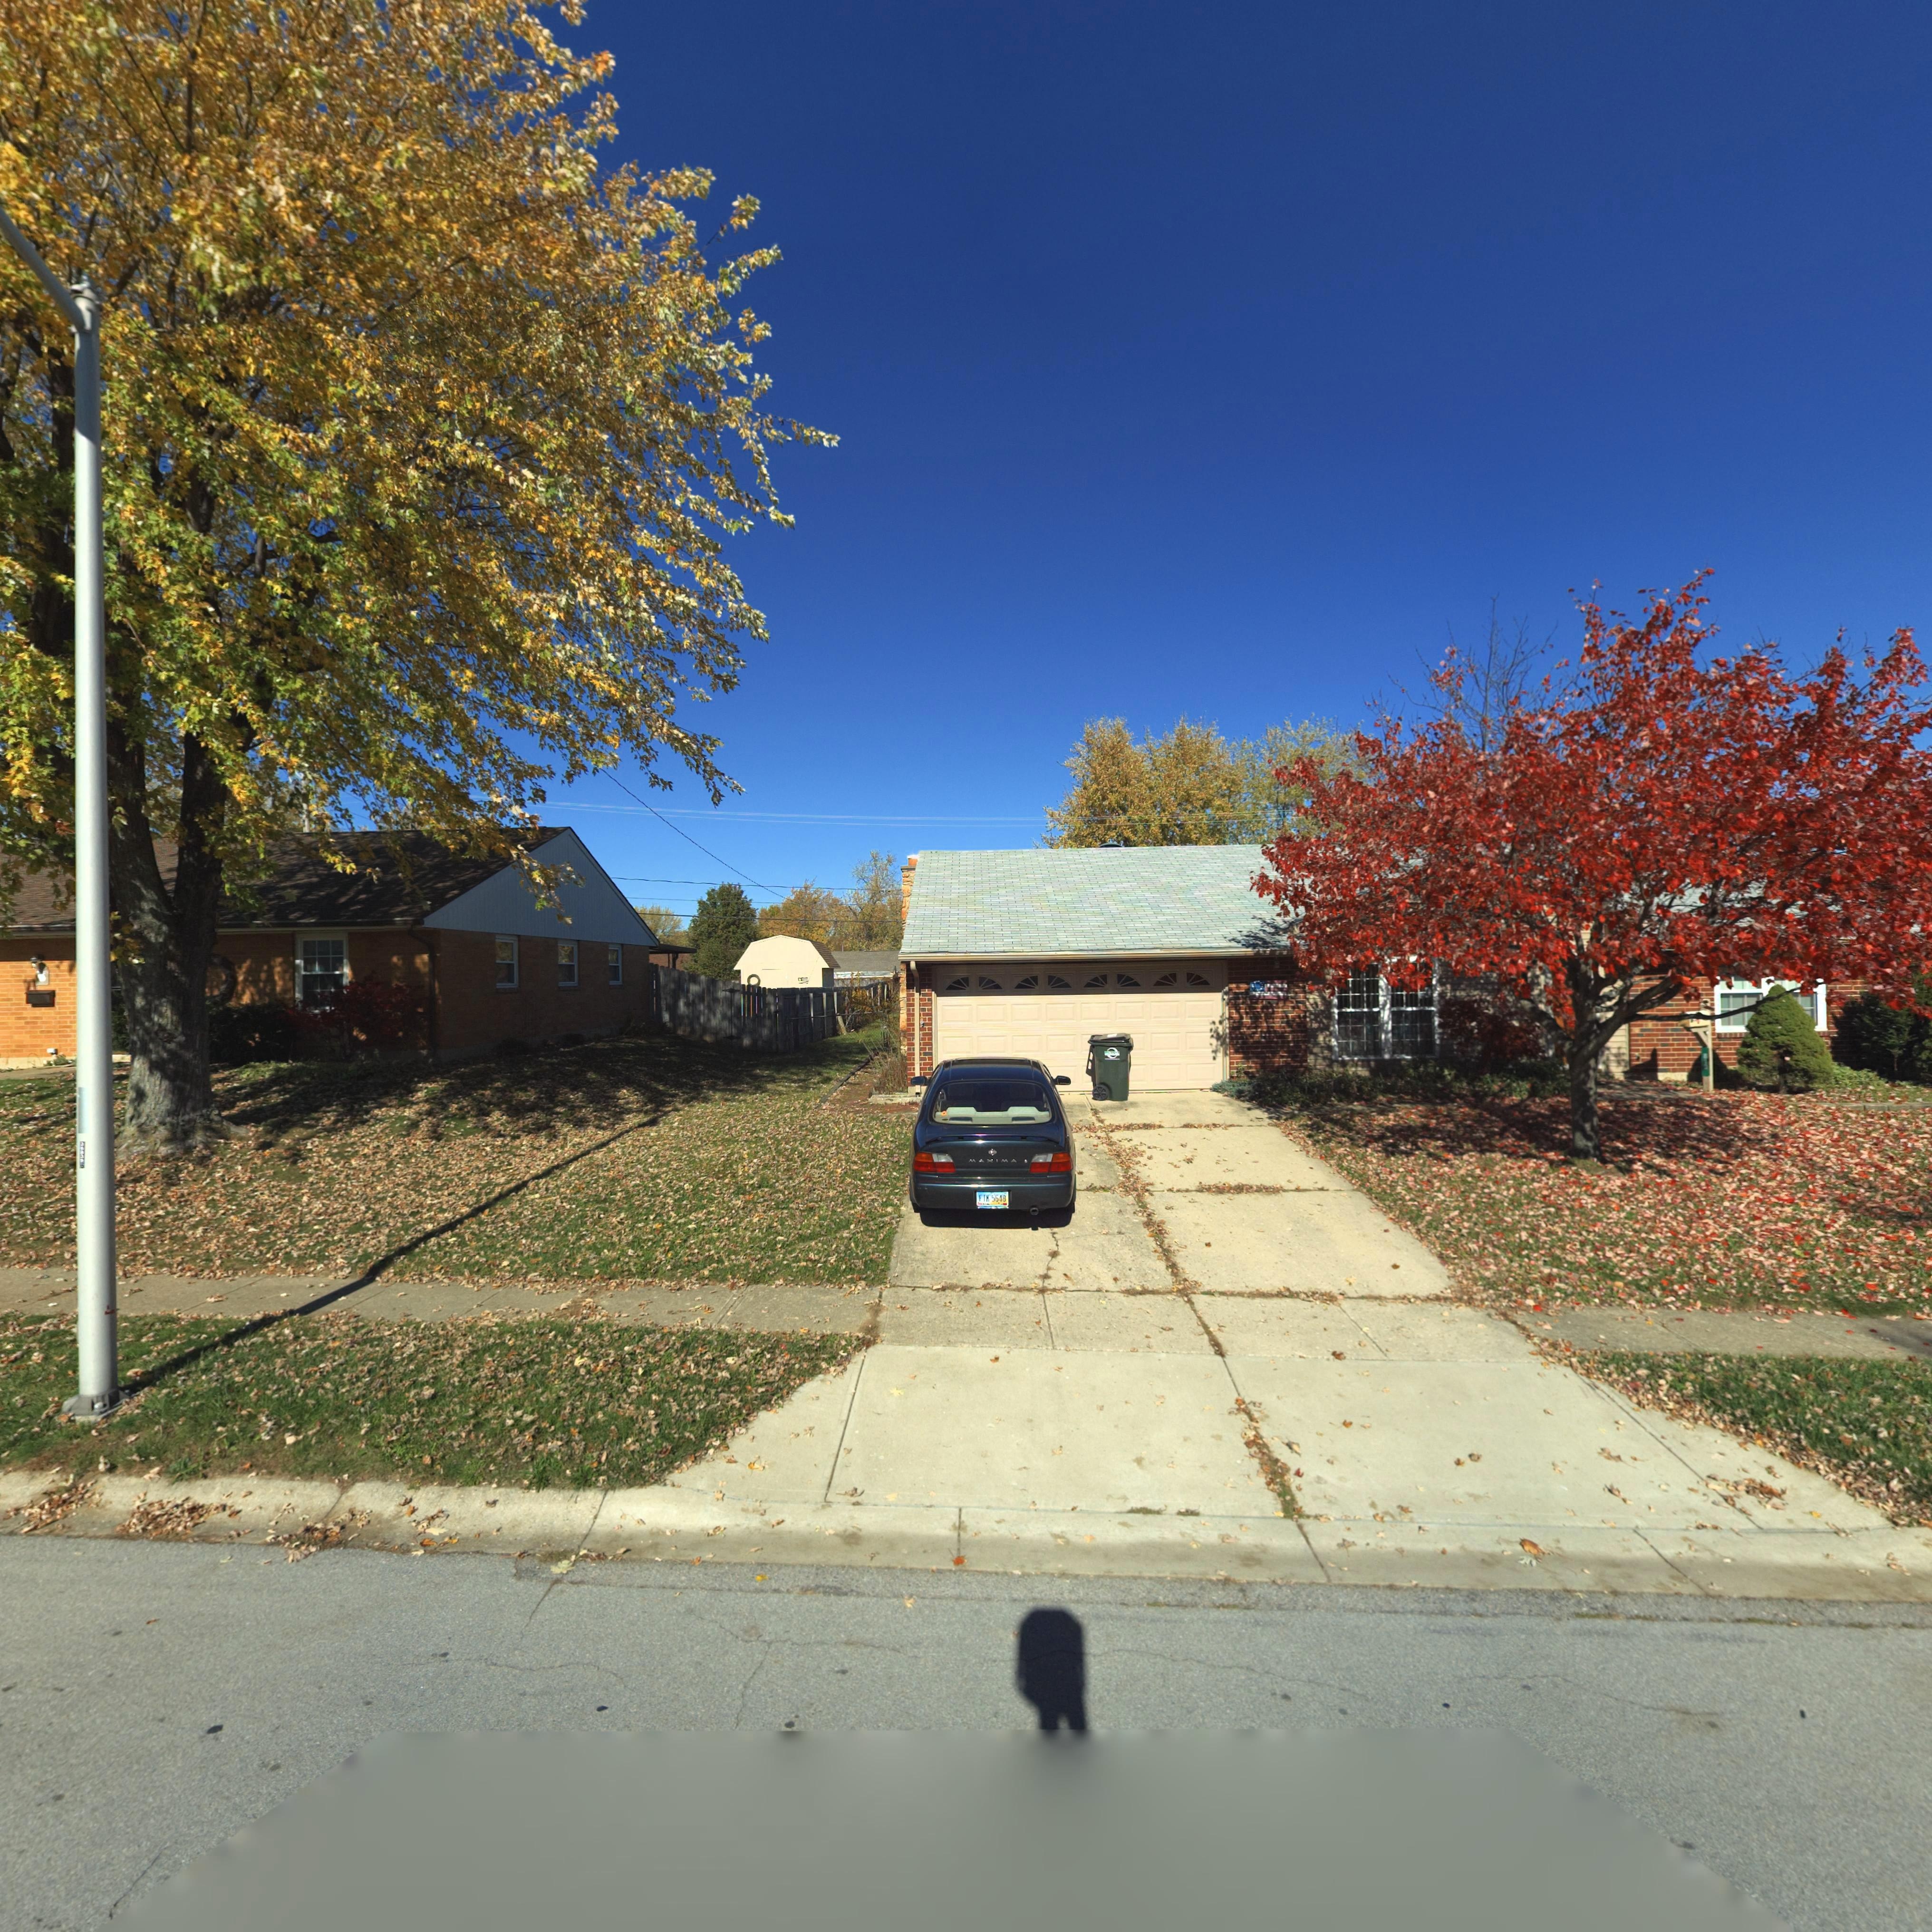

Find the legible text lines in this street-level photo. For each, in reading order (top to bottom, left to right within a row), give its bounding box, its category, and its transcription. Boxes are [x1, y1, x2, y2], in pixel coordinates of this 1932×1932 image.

[1702, 1053, 1709, 1070] StreetNumber: 81*